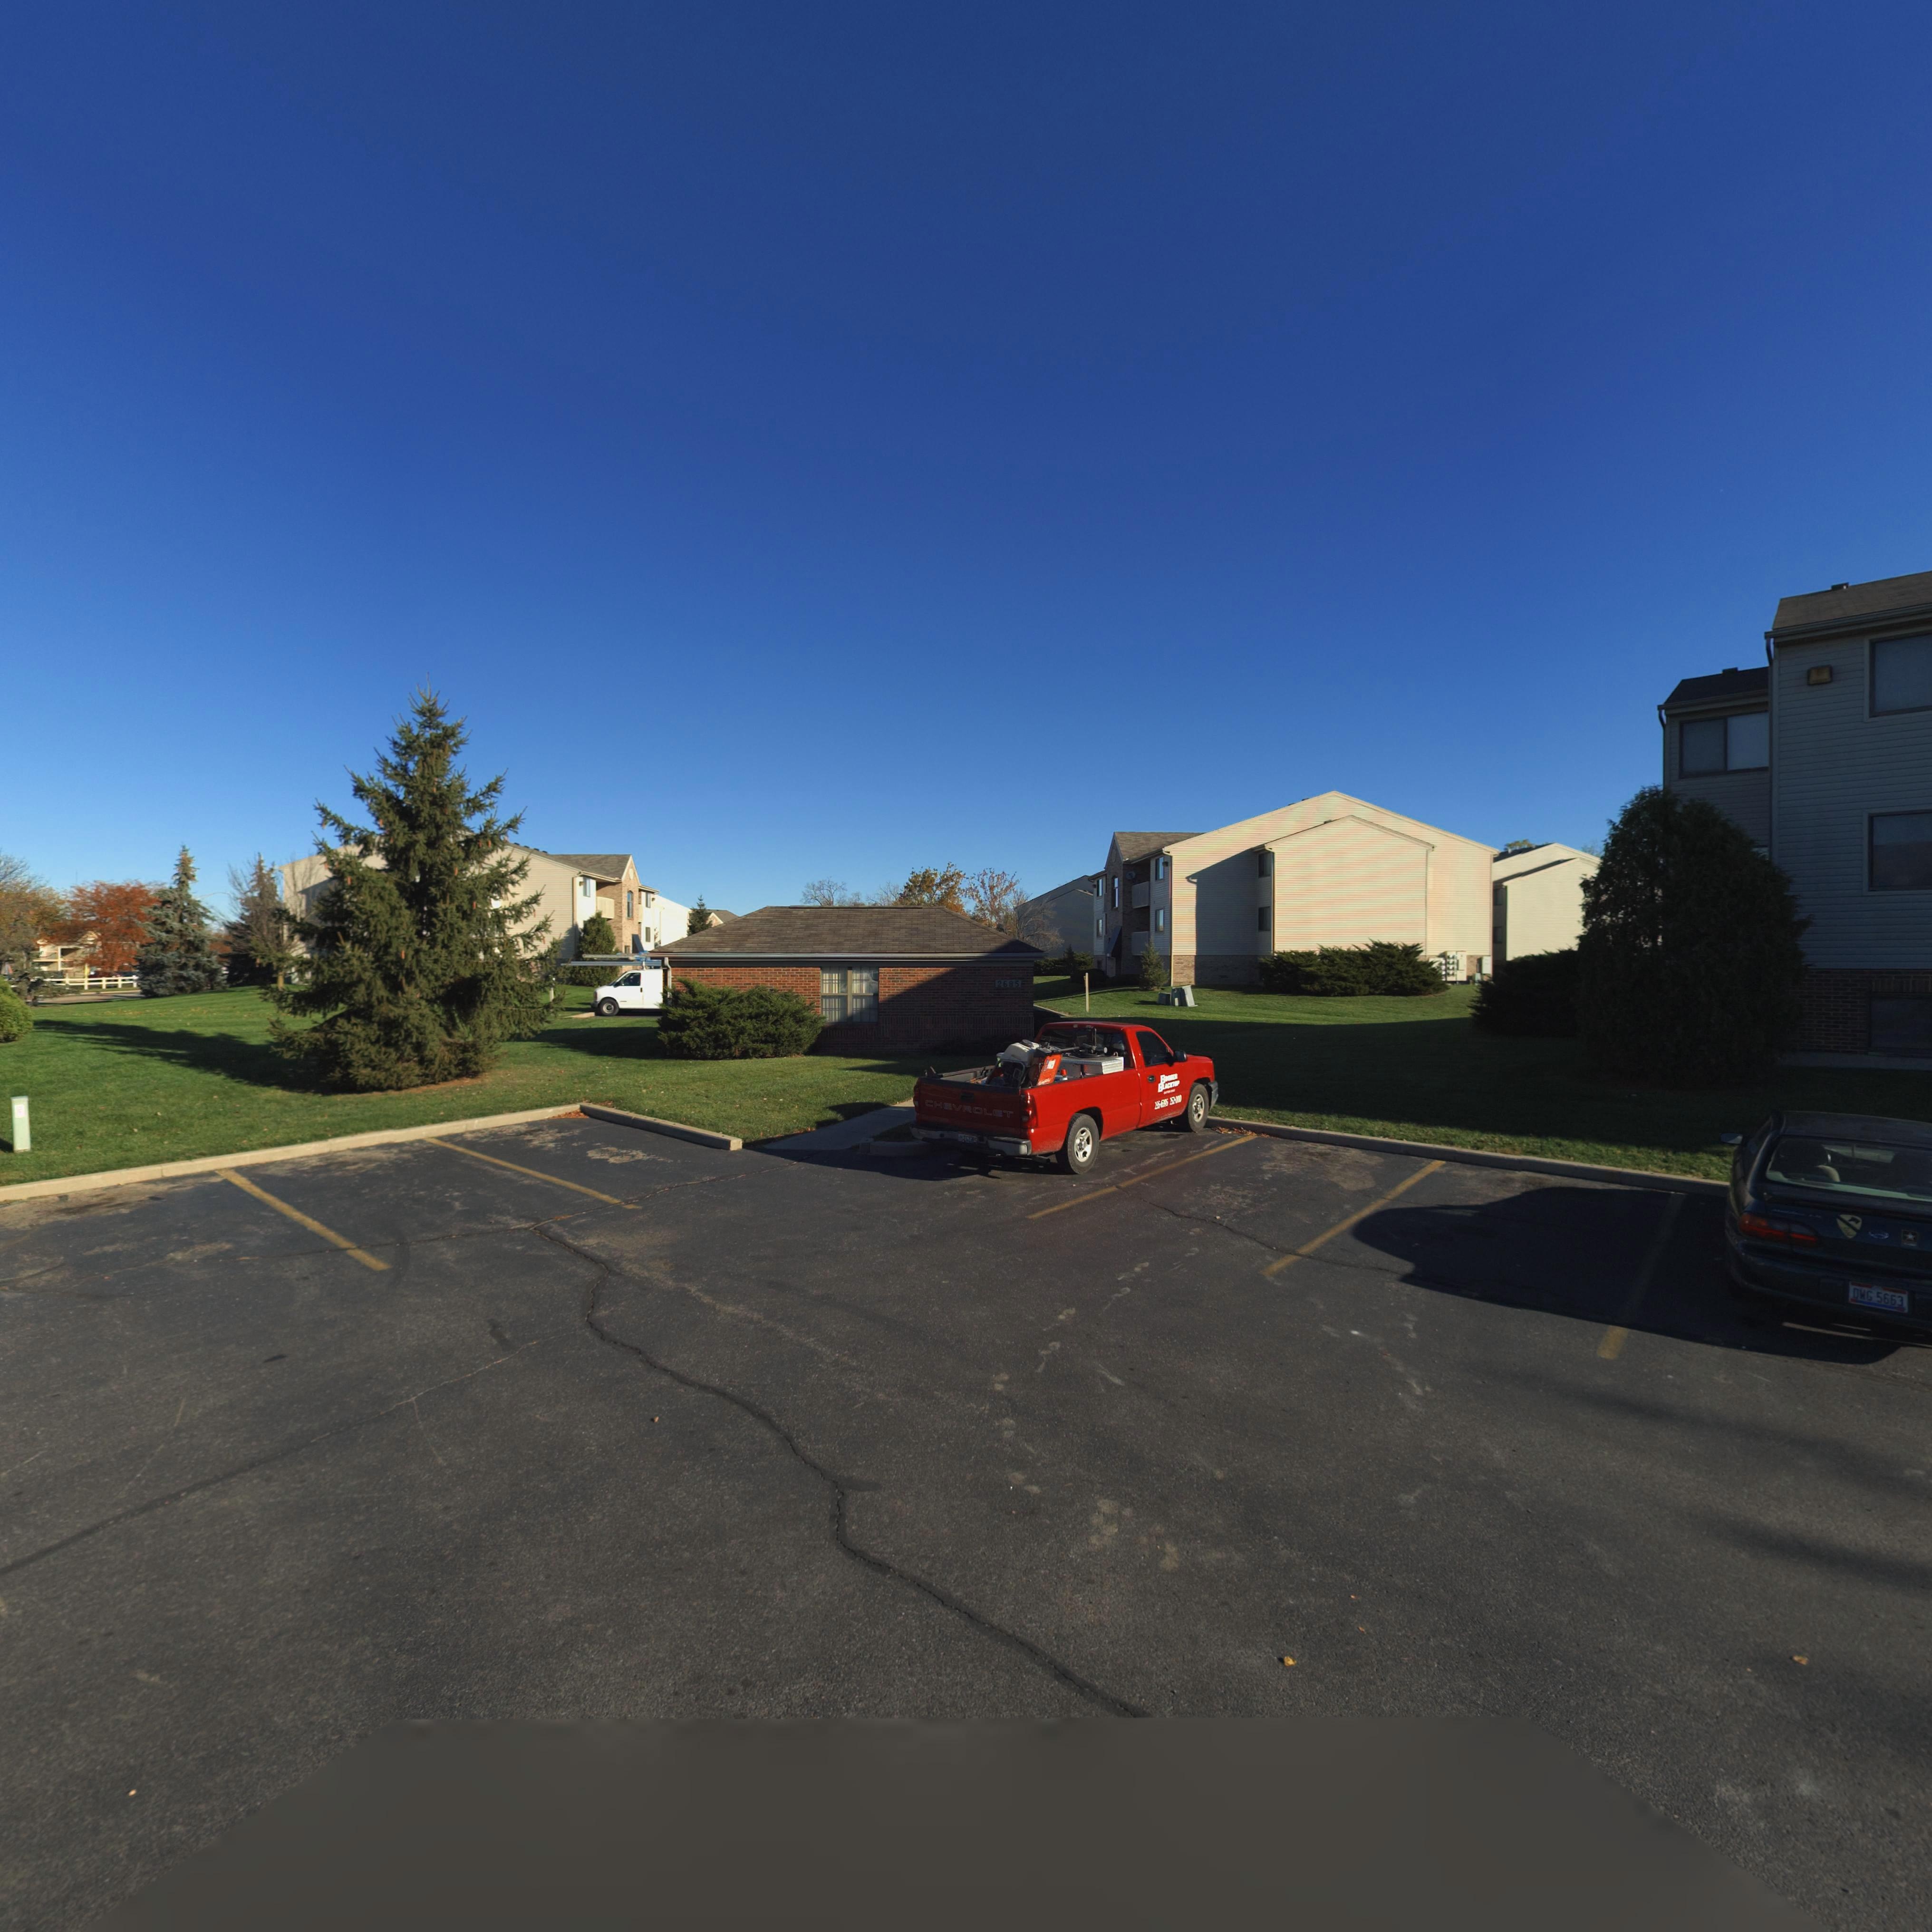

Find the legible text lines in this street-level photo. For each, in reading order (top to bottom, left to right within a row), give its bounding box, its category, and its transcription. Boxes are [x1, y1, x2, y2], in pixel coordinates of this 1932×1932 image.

[997, 980, 1020, 988] StreetNumber: 2685